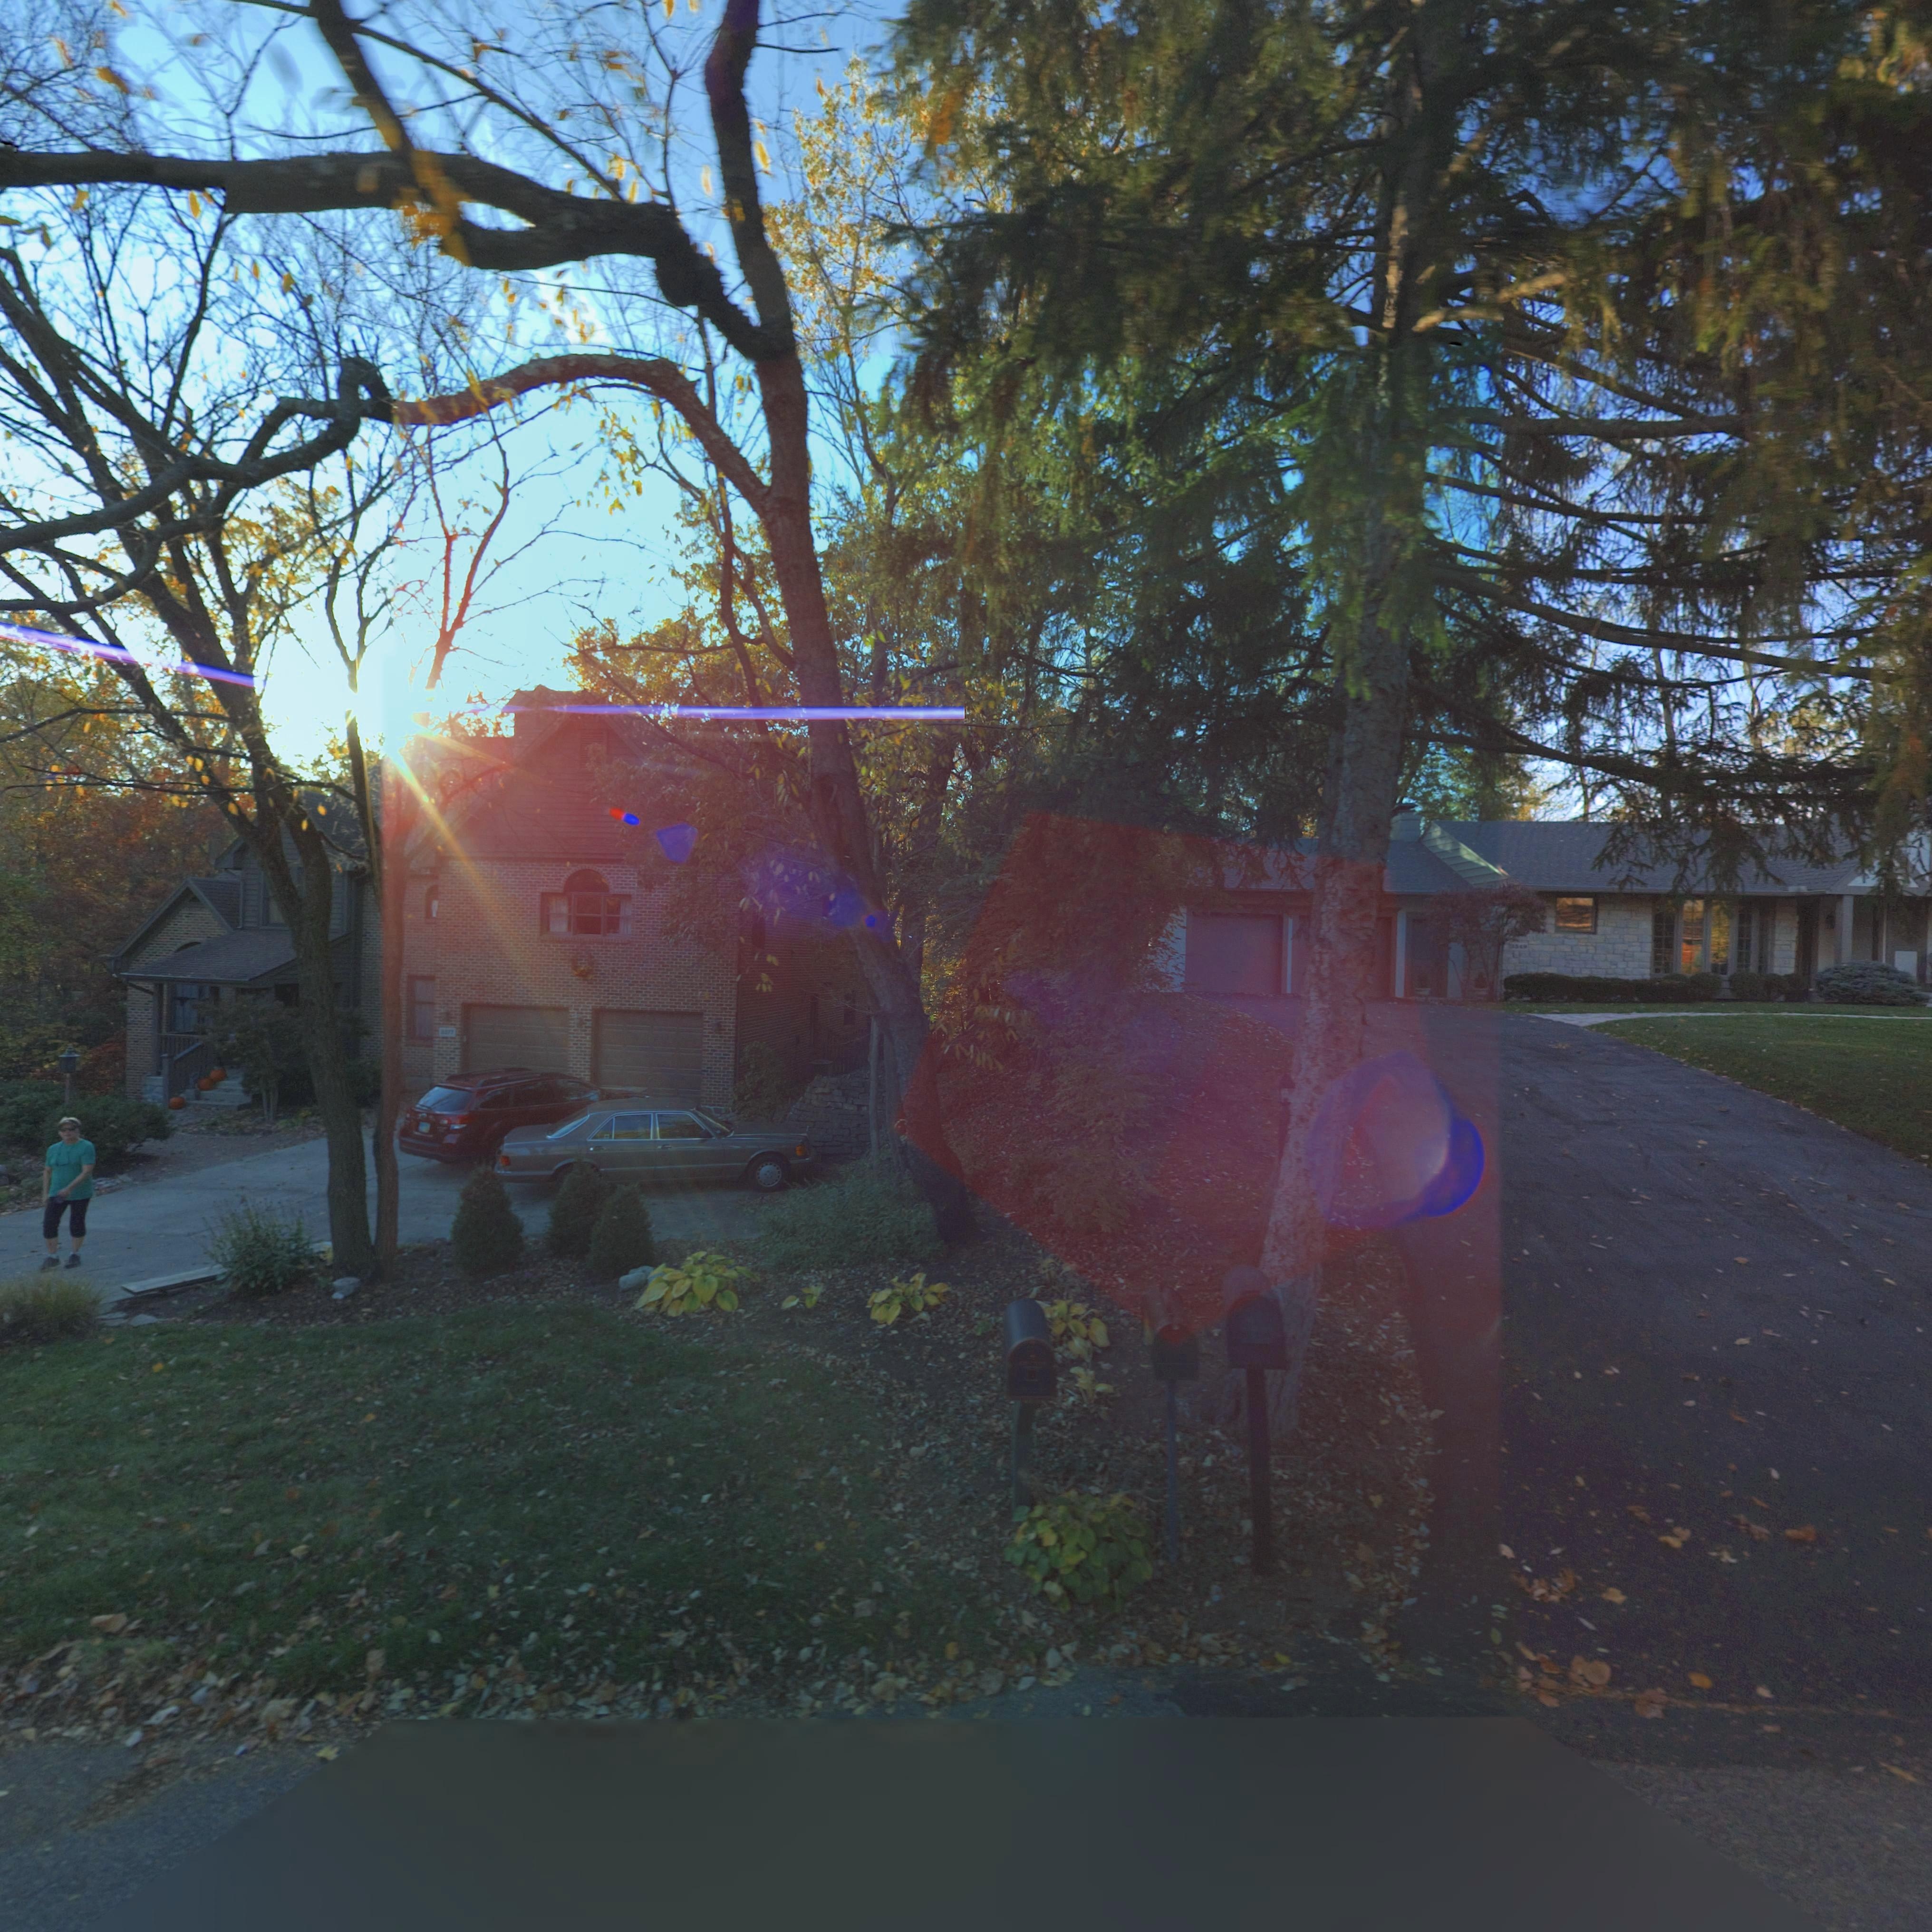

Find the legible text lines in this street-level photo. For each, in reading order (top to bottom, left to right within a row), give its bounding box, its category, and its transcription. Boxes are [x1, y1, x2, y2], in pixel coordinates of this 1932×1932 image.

[440, 1029, 454, 1035] StreetNumber: 3377